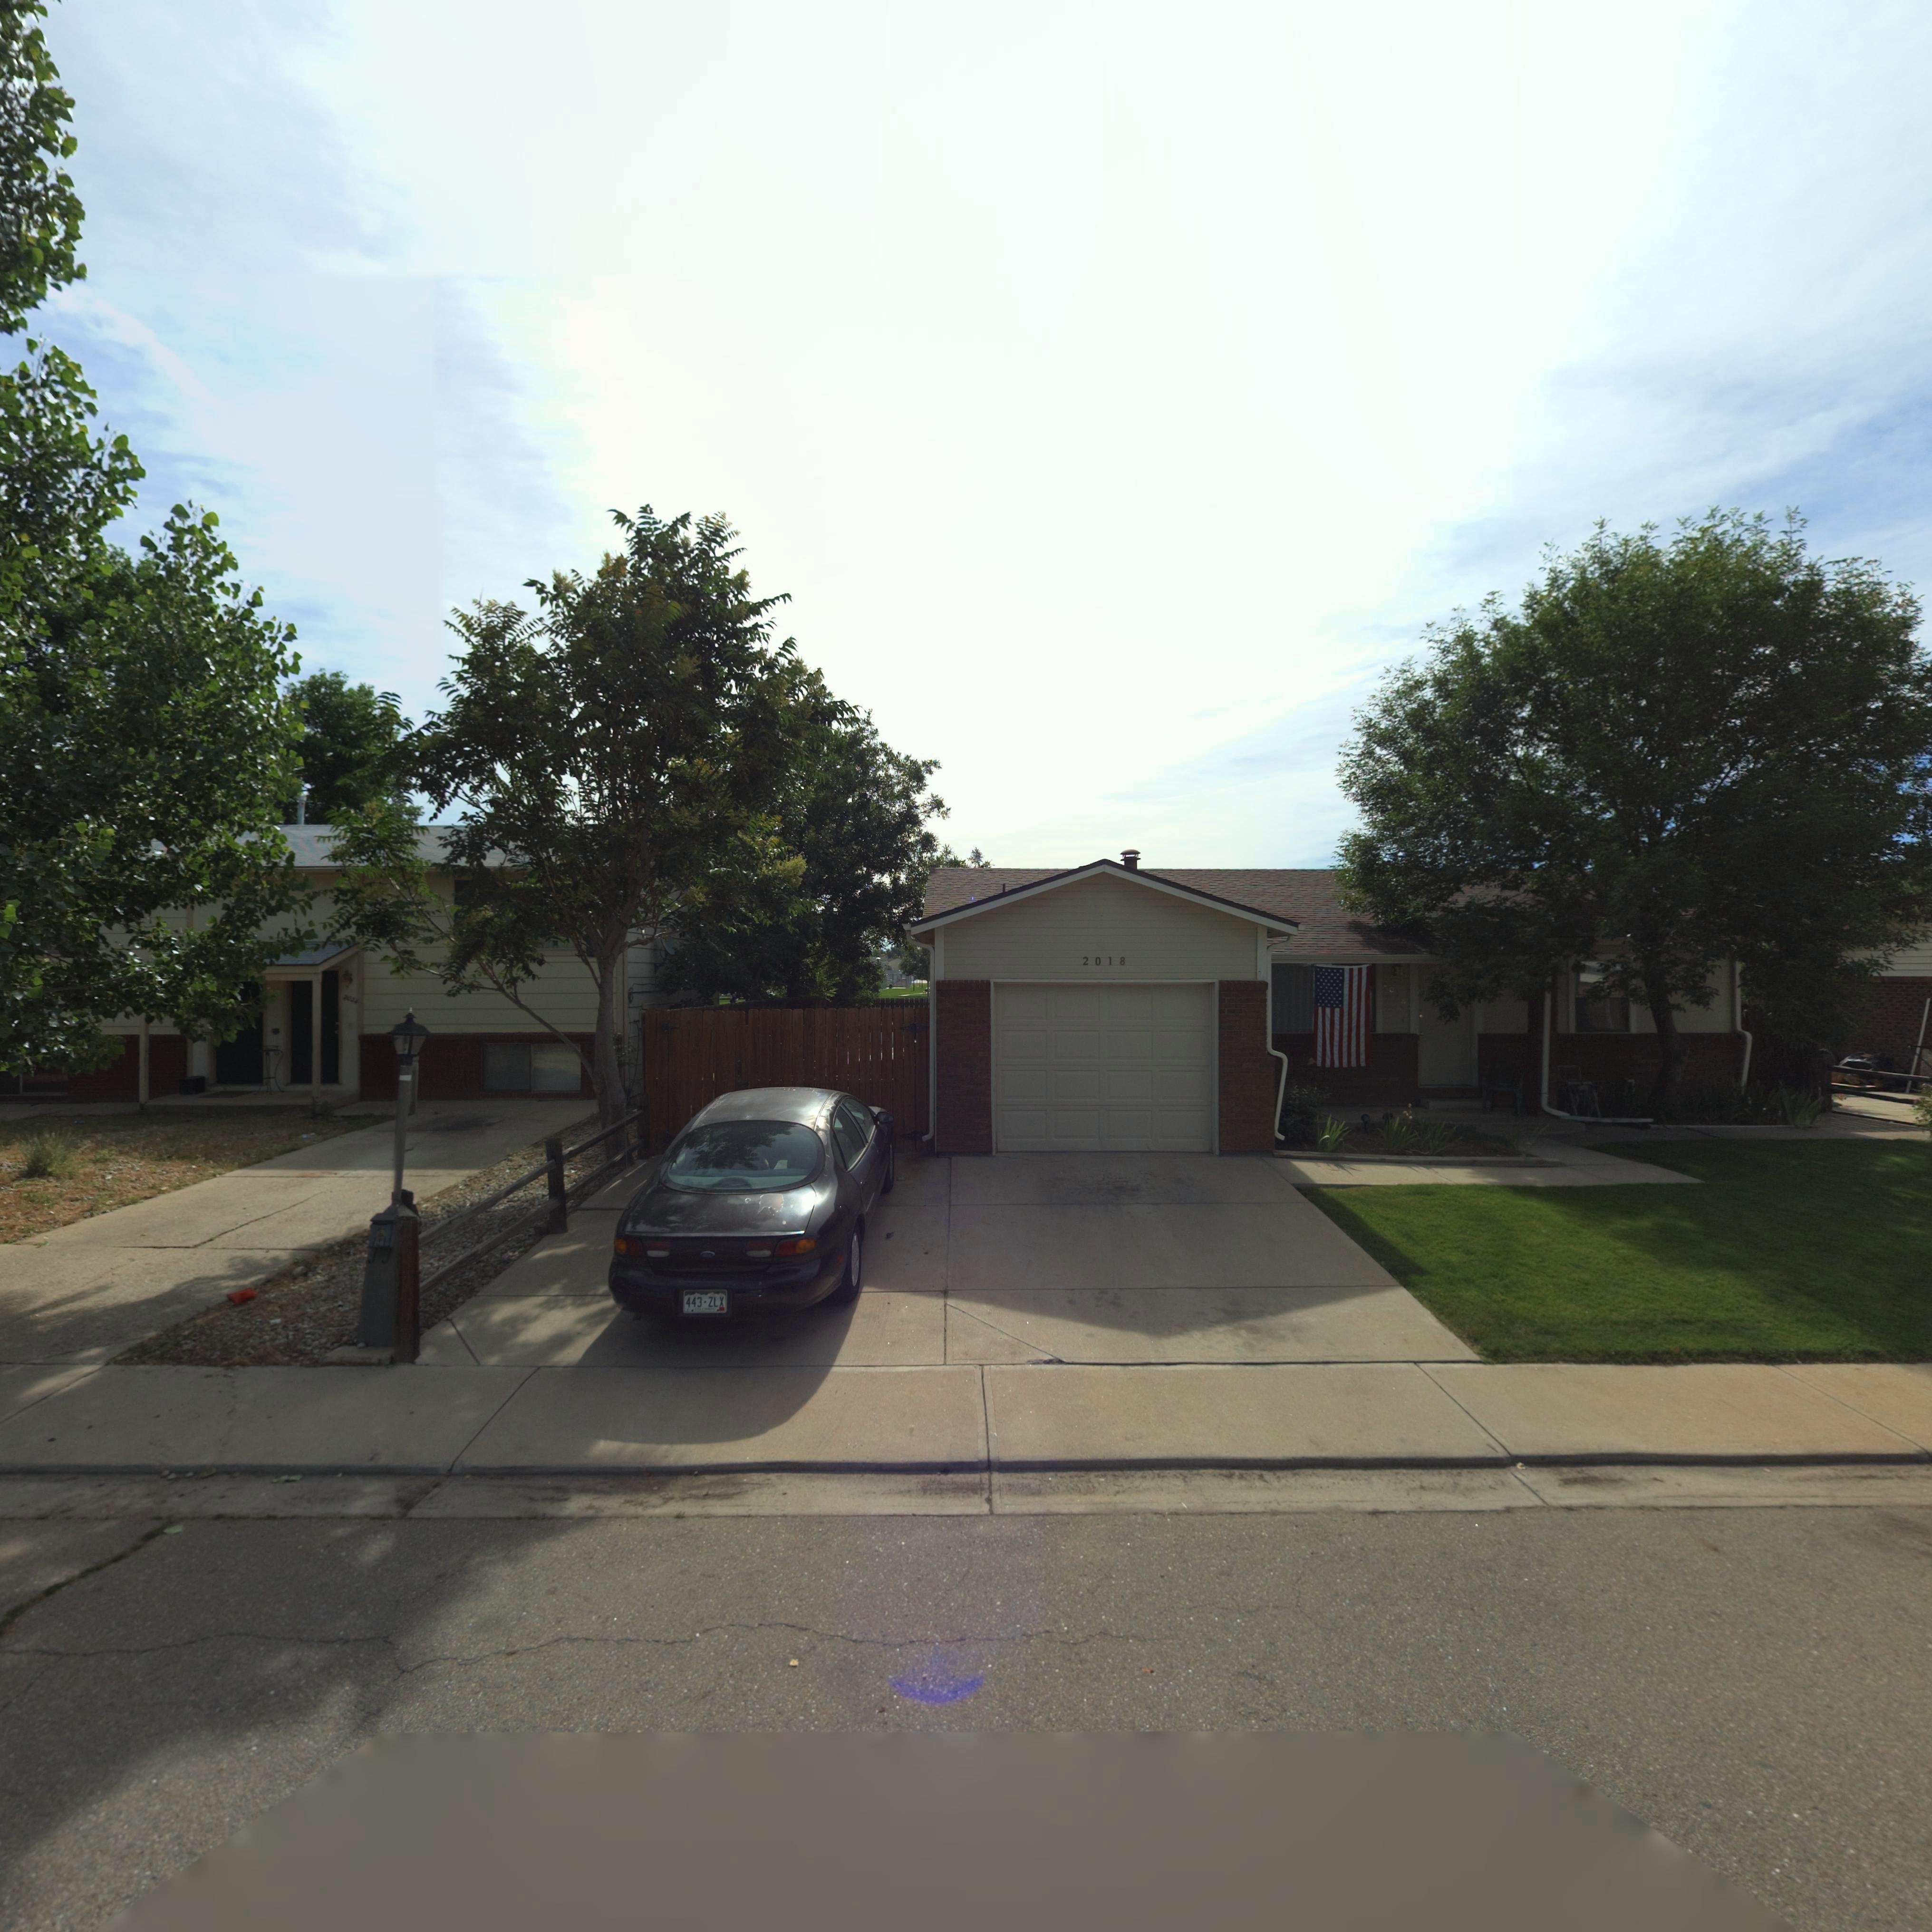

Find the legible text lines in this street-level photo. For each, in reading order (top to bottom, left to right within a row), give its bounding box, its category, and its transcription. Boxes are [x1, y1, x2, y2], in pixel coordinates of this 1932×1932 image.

[1082, 956, 1125, 966] StreetNumber: 2018
[342, 994, 358, 1005] StreetNumber: 2024